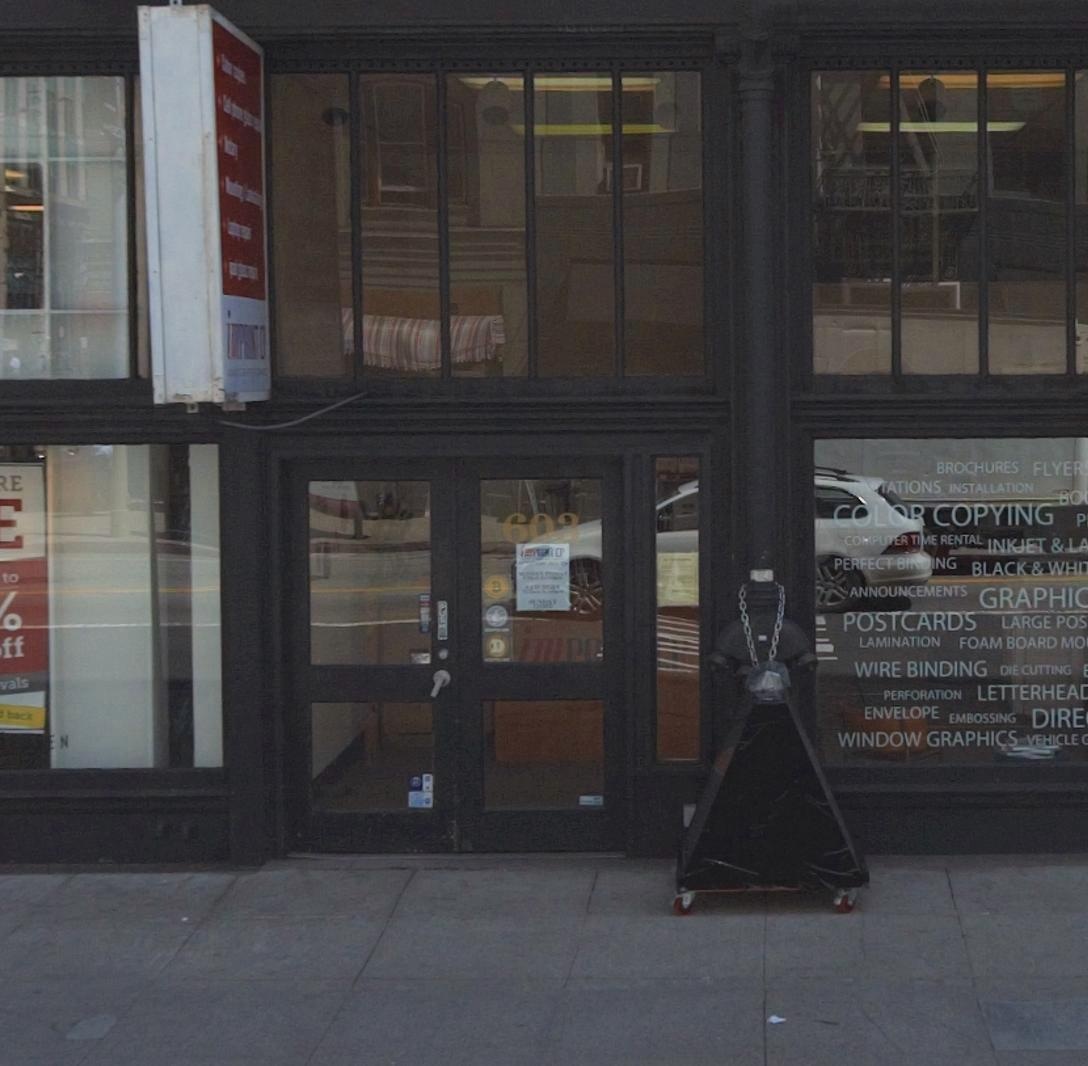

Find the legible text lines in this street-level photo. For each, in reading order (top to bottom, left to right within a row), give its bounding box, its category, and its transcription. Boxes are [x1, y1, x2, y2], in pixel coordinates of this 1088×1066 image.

[936, 459, 1021, 476] None: BROCHURES
[1030, 458, 1085, 479] None: FLYER
[8, 473, 24, 494] None: E
[876, 478, 942, 495] None: TATIONS
[947, 480, 1034, 494] None: INSTALLATION
[1057, 488, 1084, 507] None: BO
[831, 501, 1056, 529] None: COLOR COPYING
[1074, 509, 1086, 527] None: P
[502, 510, 581, 546] StreetNumber: 603
[842, 532, 984, 548] None: COMPUTER TIME RENTAL
[985, 535, 1087, 553] None: INKJET & LA
[2, 570, 19, 585] None: to
[831, 555, 958, 571] None: PERFECT BINDING
[971, 559, 1084, 578] None: BLACK & WHI
[847, 583, 969, 599] None: ANNOUNCEMENTS
[977, 584, 1074, 609] None: GRAPHI
[842, 610, 978, 633] None: POSTCARDS
[1001, 612, 1086, 630] None: LARGE POS
[1, 633, 26, 660] None: ff
[857, 634, 940, 648] None: LAMINATION
[958, 634, 1085, 651] None: FOAM BOARD MO
[853, 659, 989, 678] None: WIRE BINDING
[999, 662, 1072, 677] None: DIE CUTTING
[0, 674, 32, 693] None: vals
[881, 689, 962, 700] None: PERFORATION
[976, 683, 1081, 702] None: LETTERHEA
[862, 704, 940, 720] None: ENVELOPE
[946, 709, 1019, 725] None: EMBOSSING
[1031, 706, 1085, 730] None: DIRE
[836, 729, 1019, 749] None: WINDOW GRAPHICS
[1025, 731, 1080, 747] None: VEHICLE